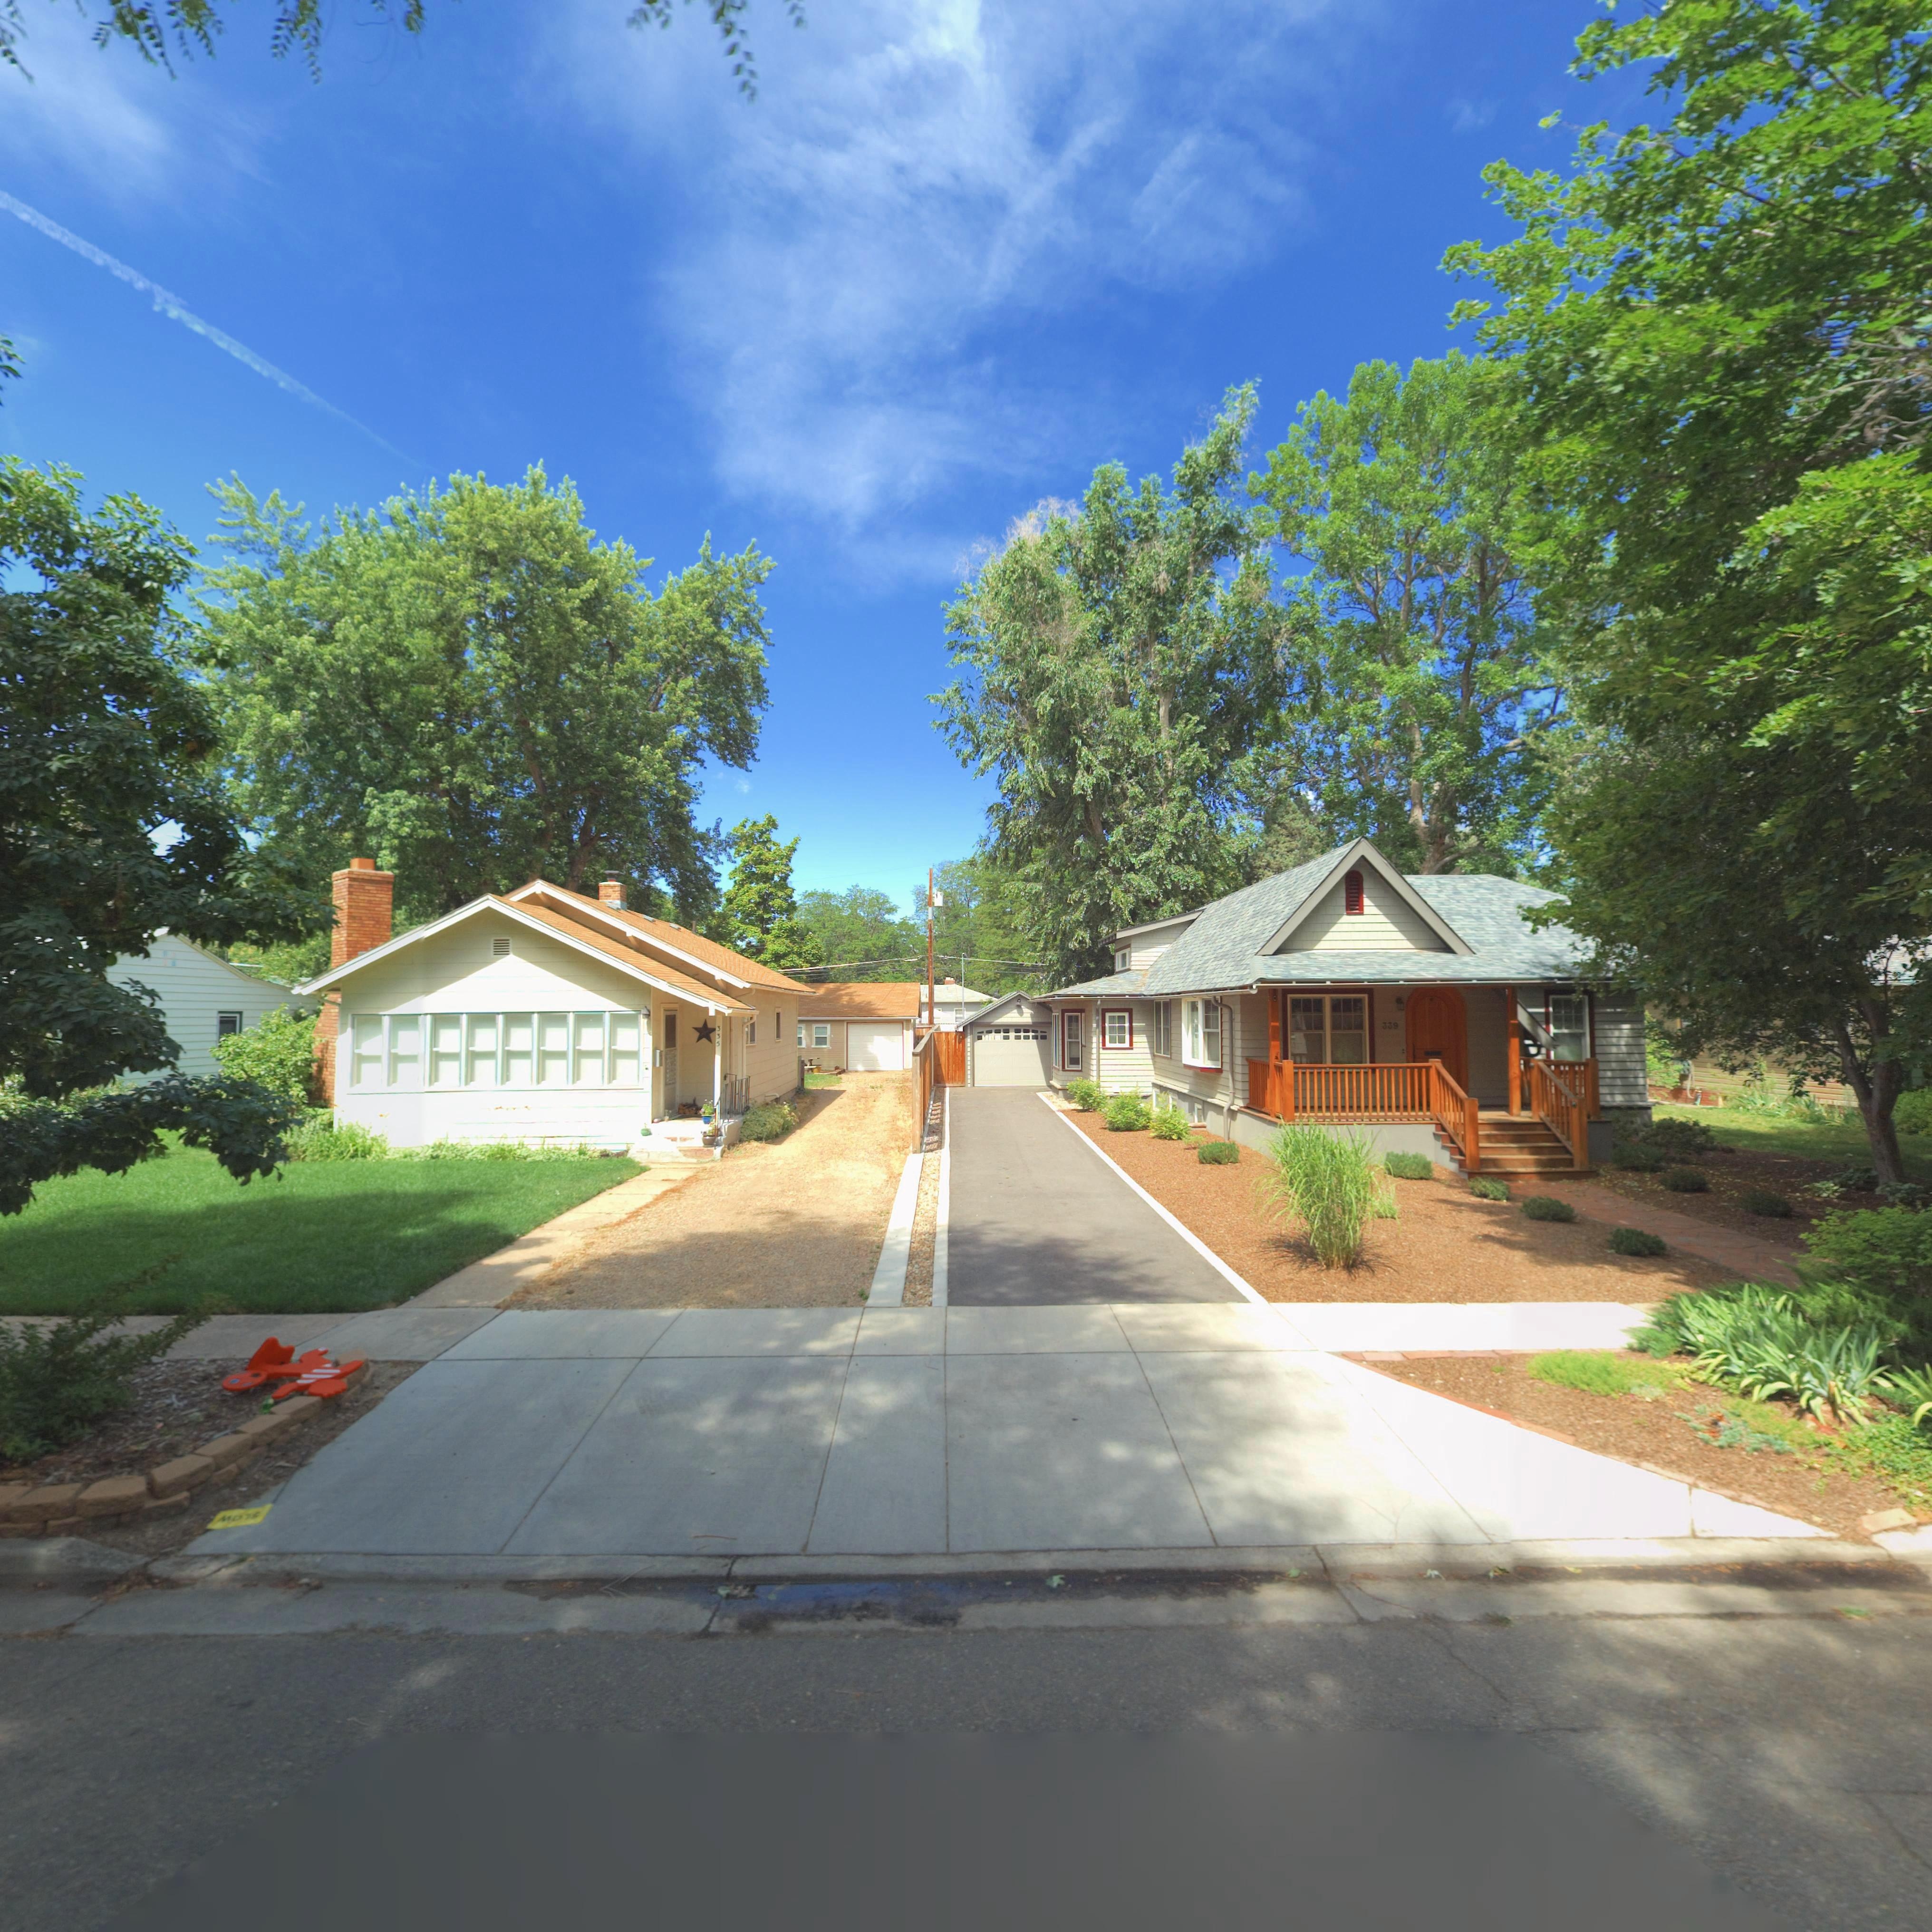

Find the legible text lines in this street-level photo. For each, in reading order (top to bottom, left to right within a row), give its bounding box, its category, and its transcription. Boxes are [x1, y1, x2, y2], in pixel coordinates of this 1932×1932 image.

[716, 1025, 720, 1047] StreetNumber: 335
[1382, 1022, 1398, 1029] StreetNumber: 339